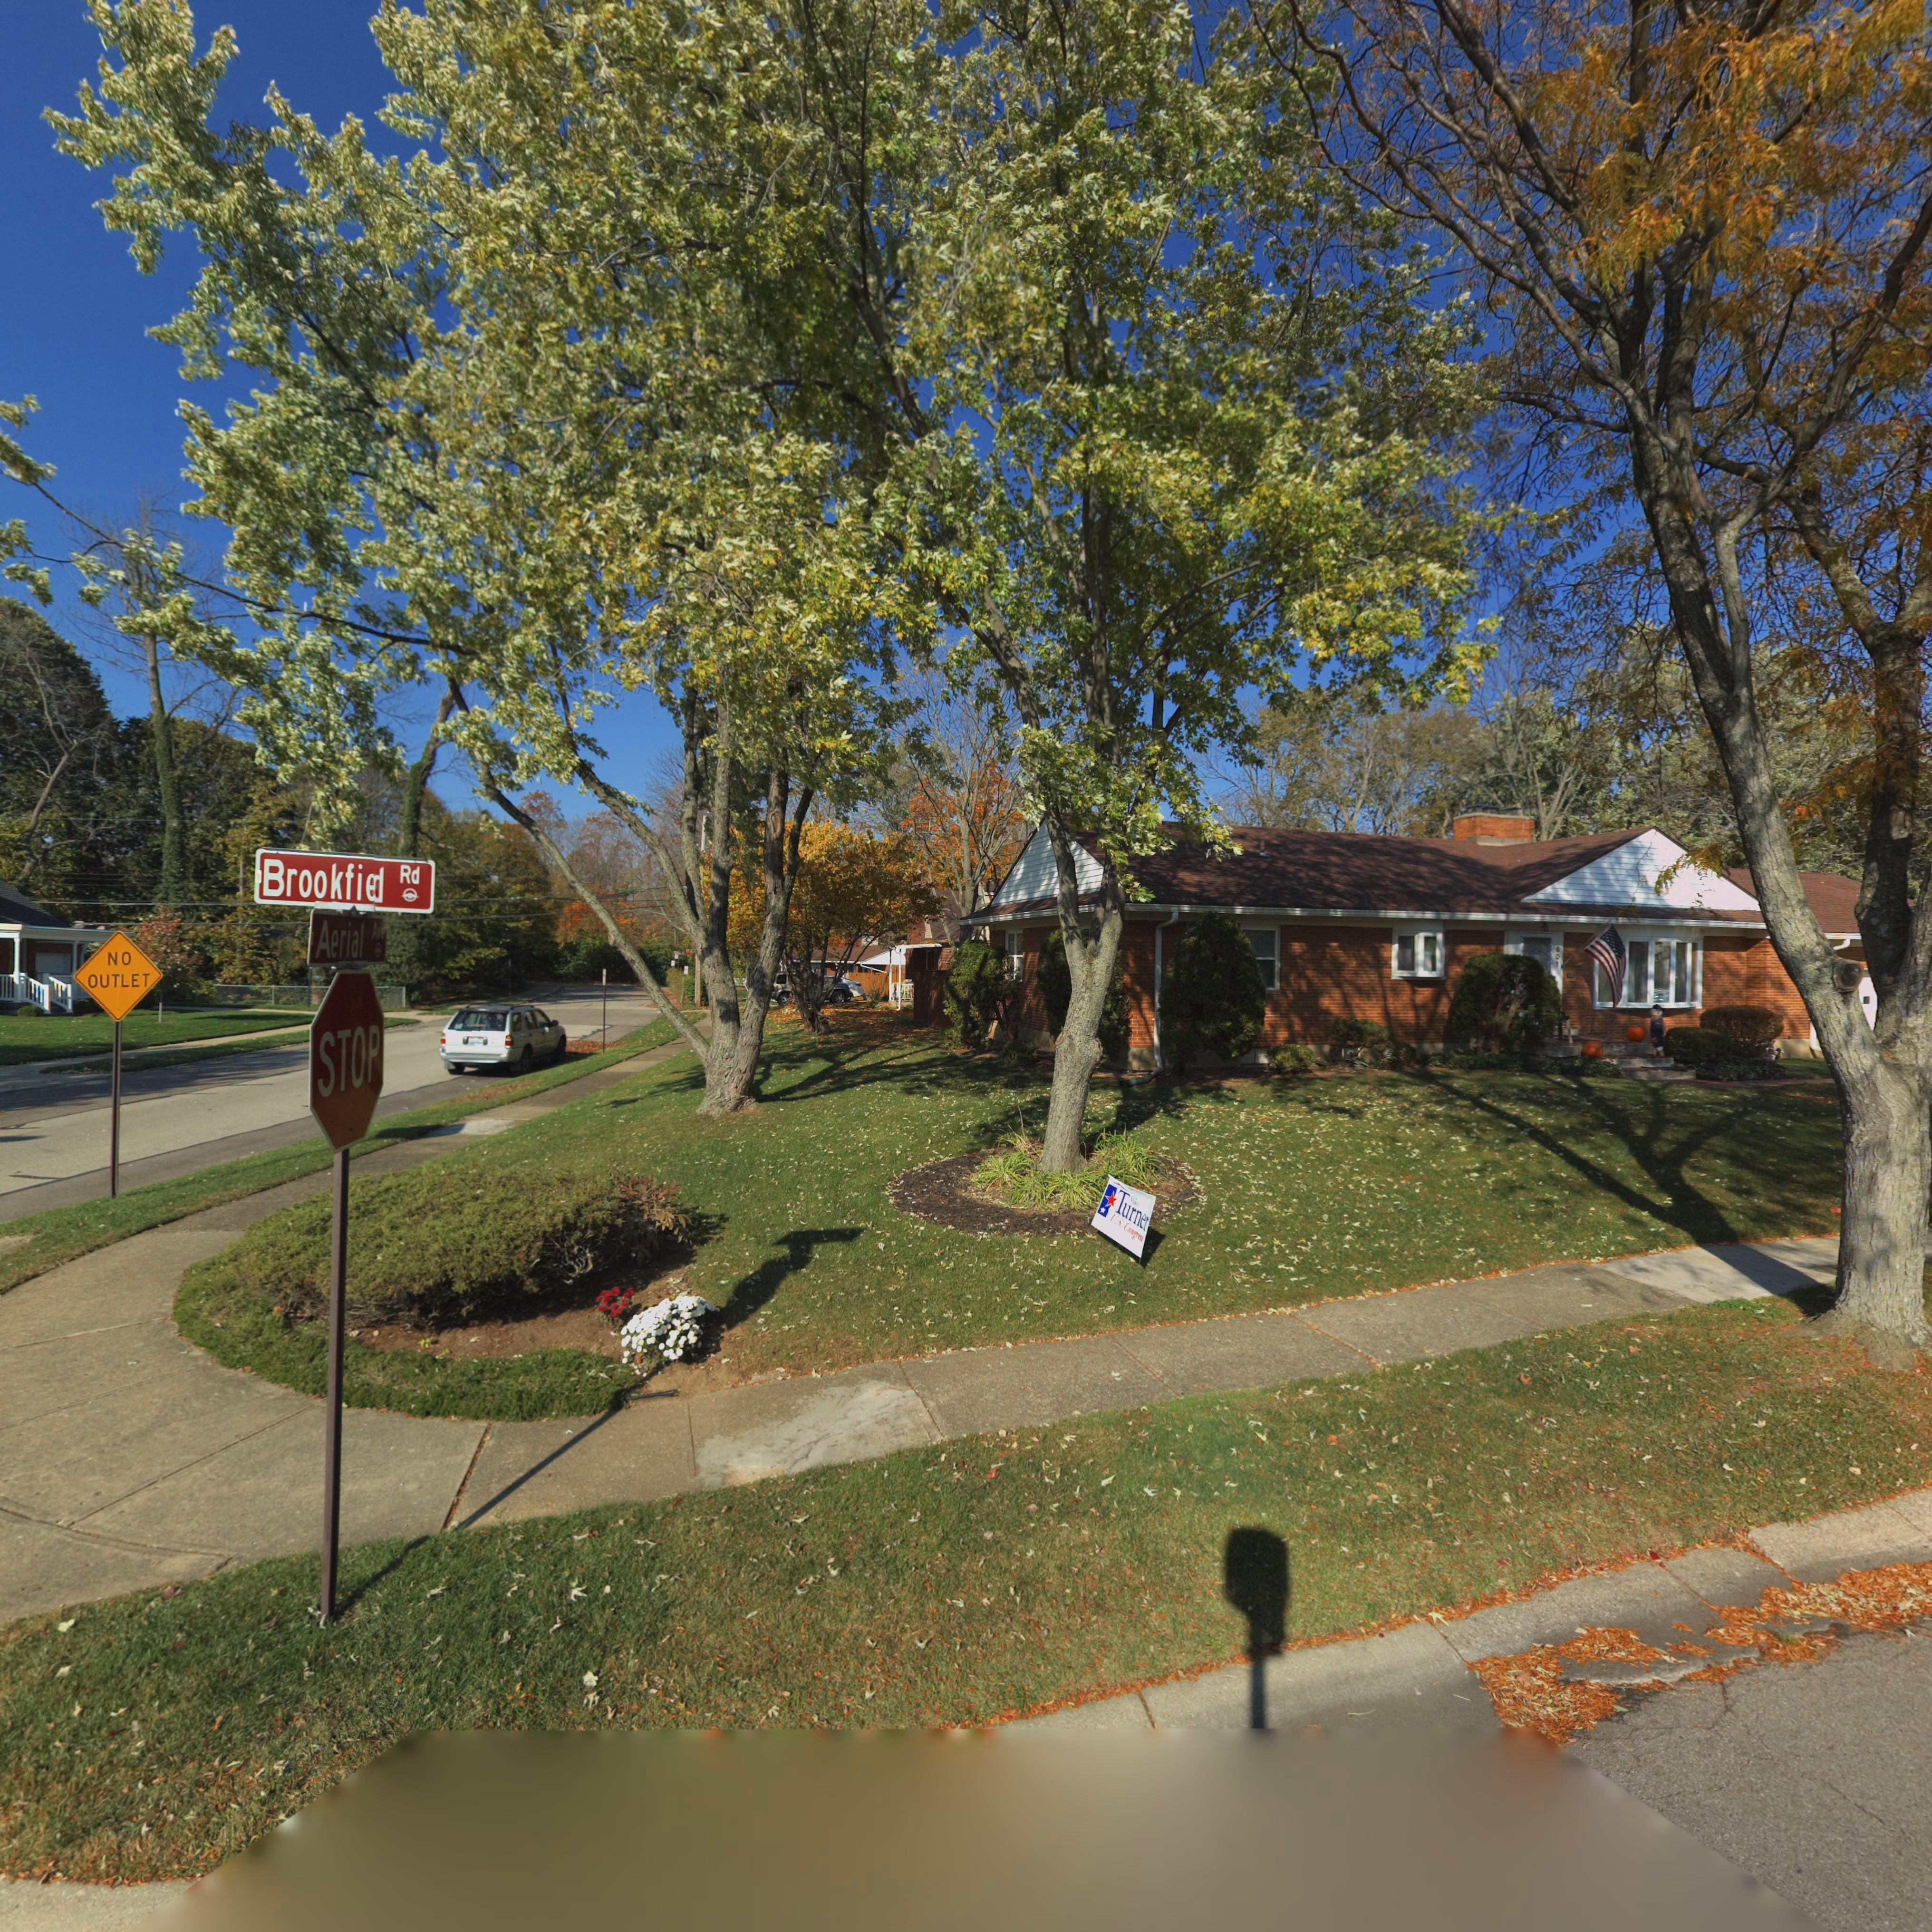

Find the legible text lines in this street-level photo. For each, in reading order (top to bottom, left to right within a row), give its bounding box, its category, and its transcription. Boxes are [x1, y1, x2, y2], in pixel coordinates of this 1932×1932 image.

[262, 858, 421, 905] StreetName: Brookfi* Rd
[107, 951, 132, 966] None: NO
[313, 919, 386, 960] StreetName: Aerial Ave
[1555, 946, 1561, 968] StreetNumber: 601
[87, 973, 151, 989] None: OUTLET
[316, 1024, 381, 1099] None: STOP
[1109, 1213, 1144, 1243] None: U.S. Congress
[1114, 1189, 1150, 1233] None: Turner